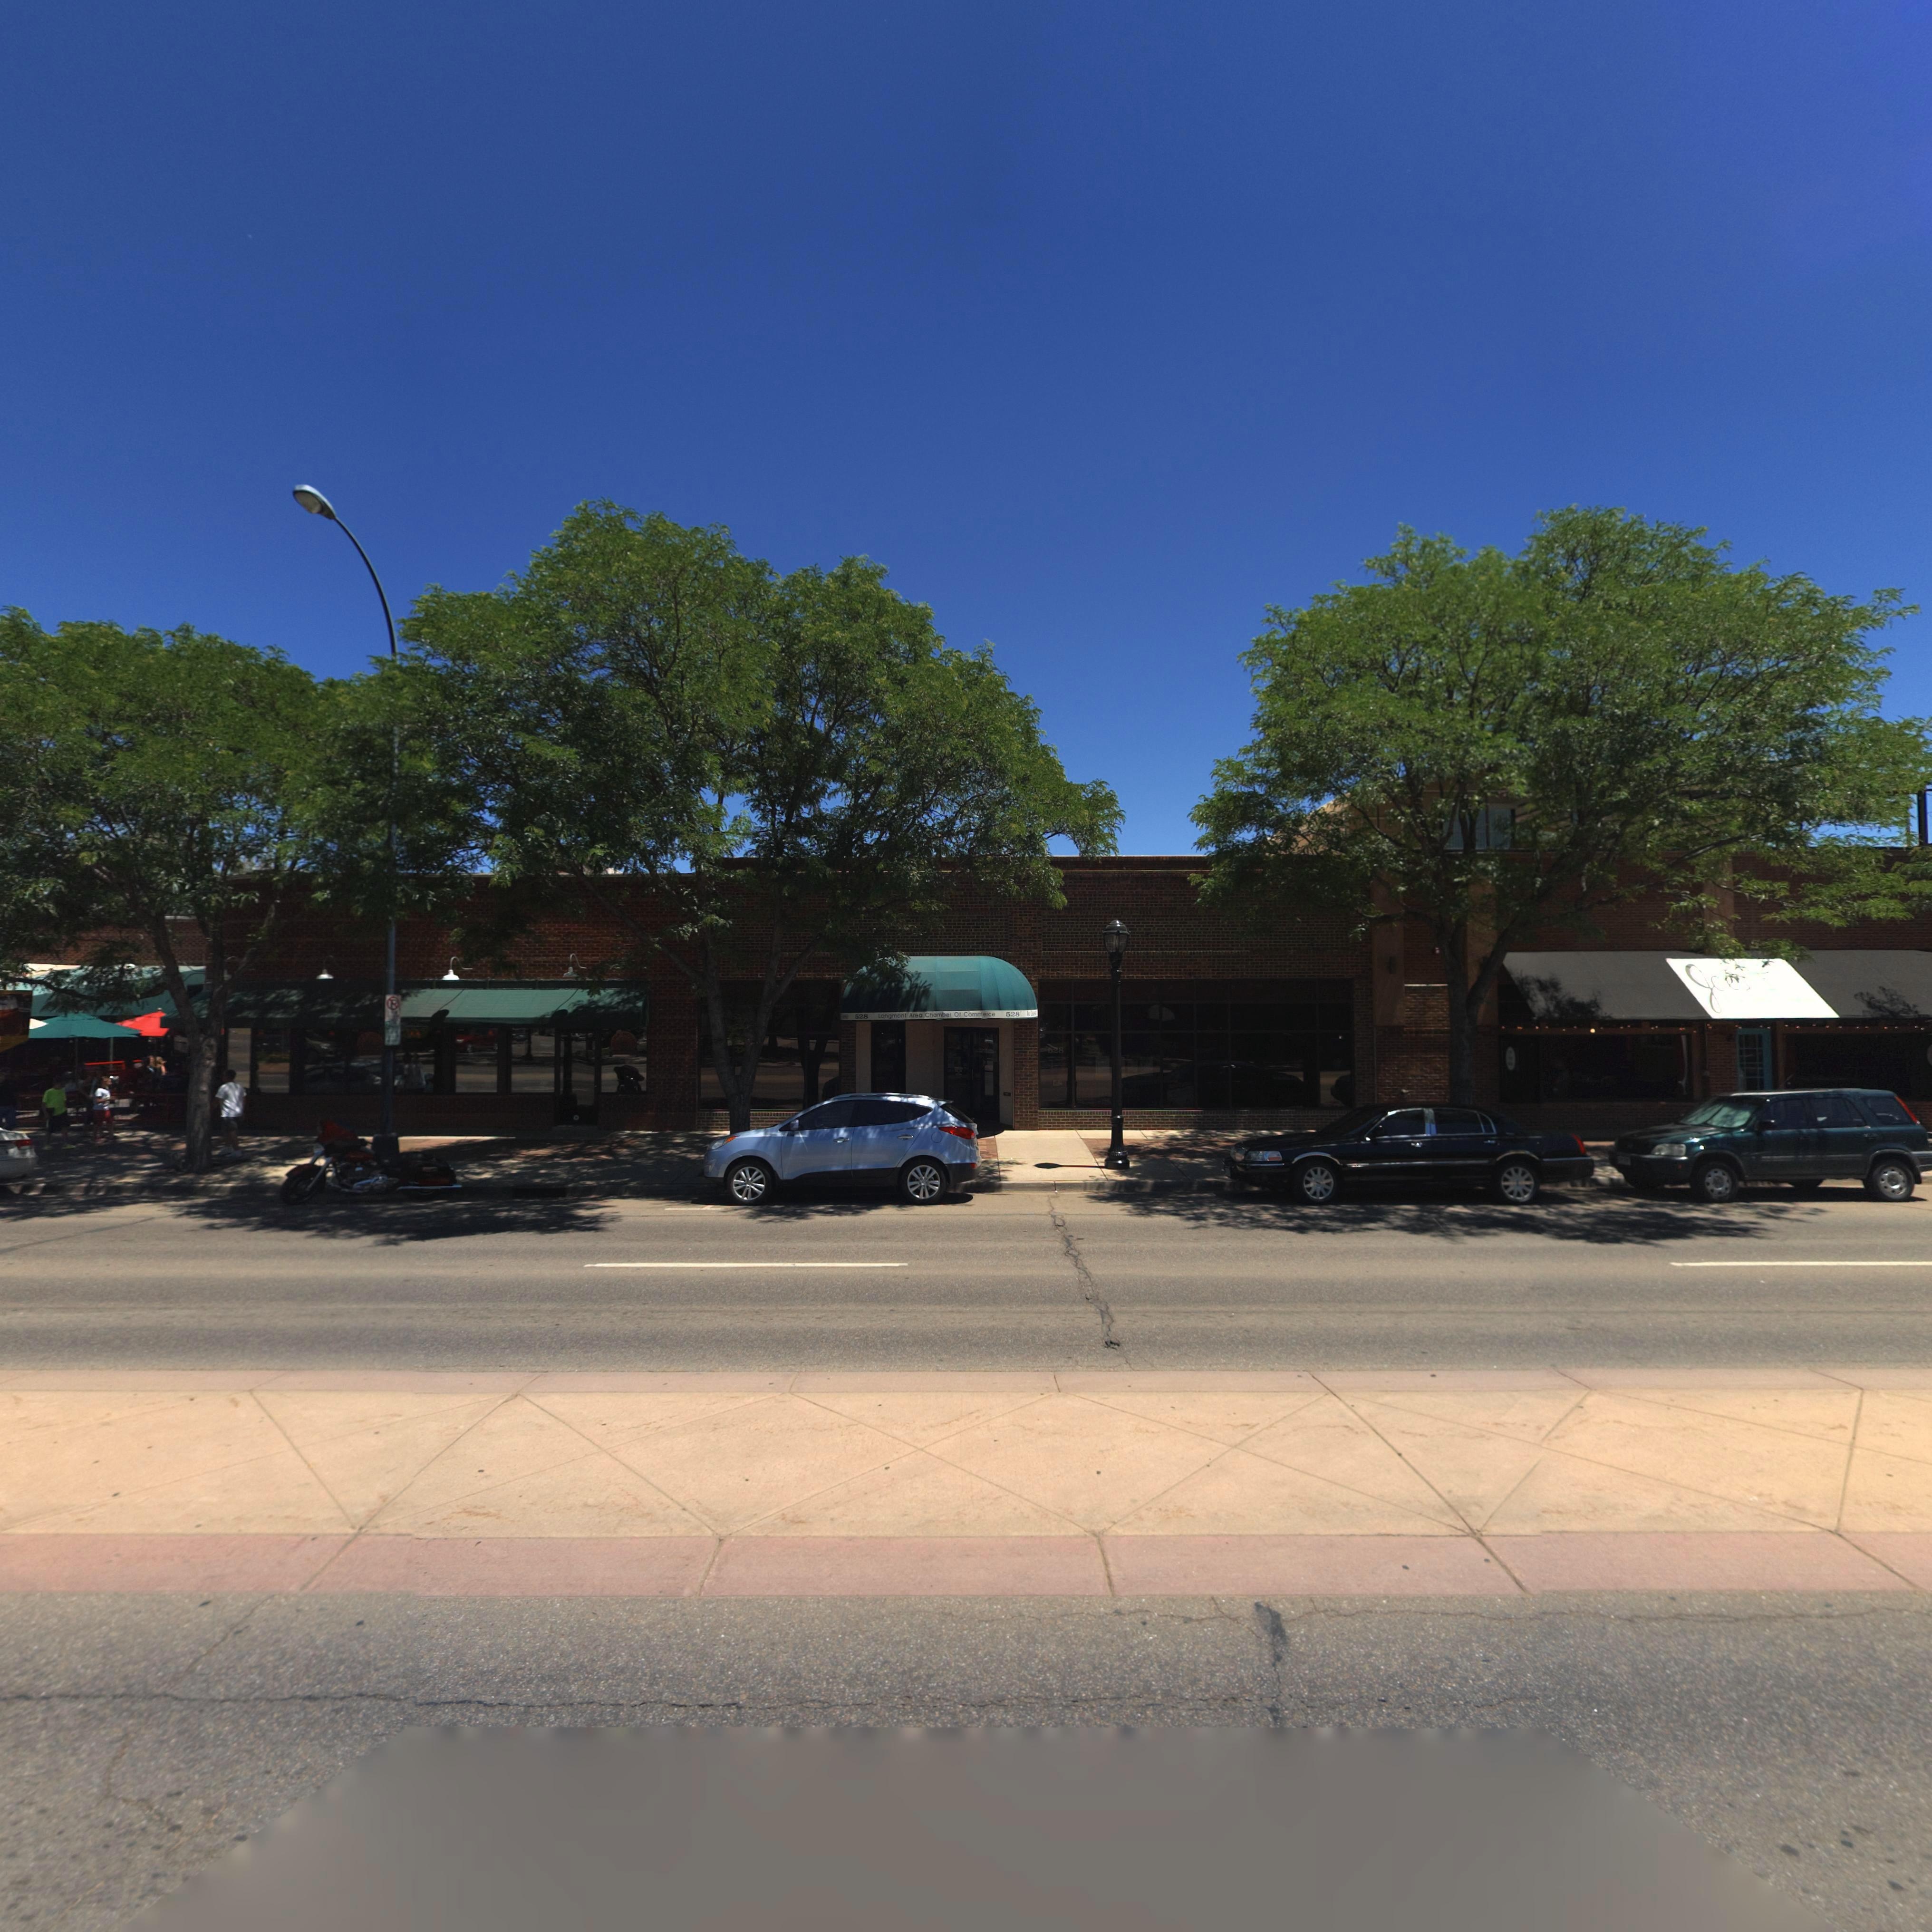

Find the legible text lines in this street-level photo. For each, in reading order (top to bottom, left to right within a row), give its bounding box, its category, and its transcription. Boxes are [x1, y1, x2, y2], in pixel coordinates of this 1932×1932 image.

[1684, 962, 1727, 1014] BusinessName: J*
[854, 1013, 868, 1019] StreetNumber: 528
[877, 1011, 995, 1019] BusinessName: Longmont Area Chamber Of Commerce
[1005, 1011, 1020, 1017] StreetNumber: 528
[1047, 1046, 1064, 1054] StreetNumber: 528